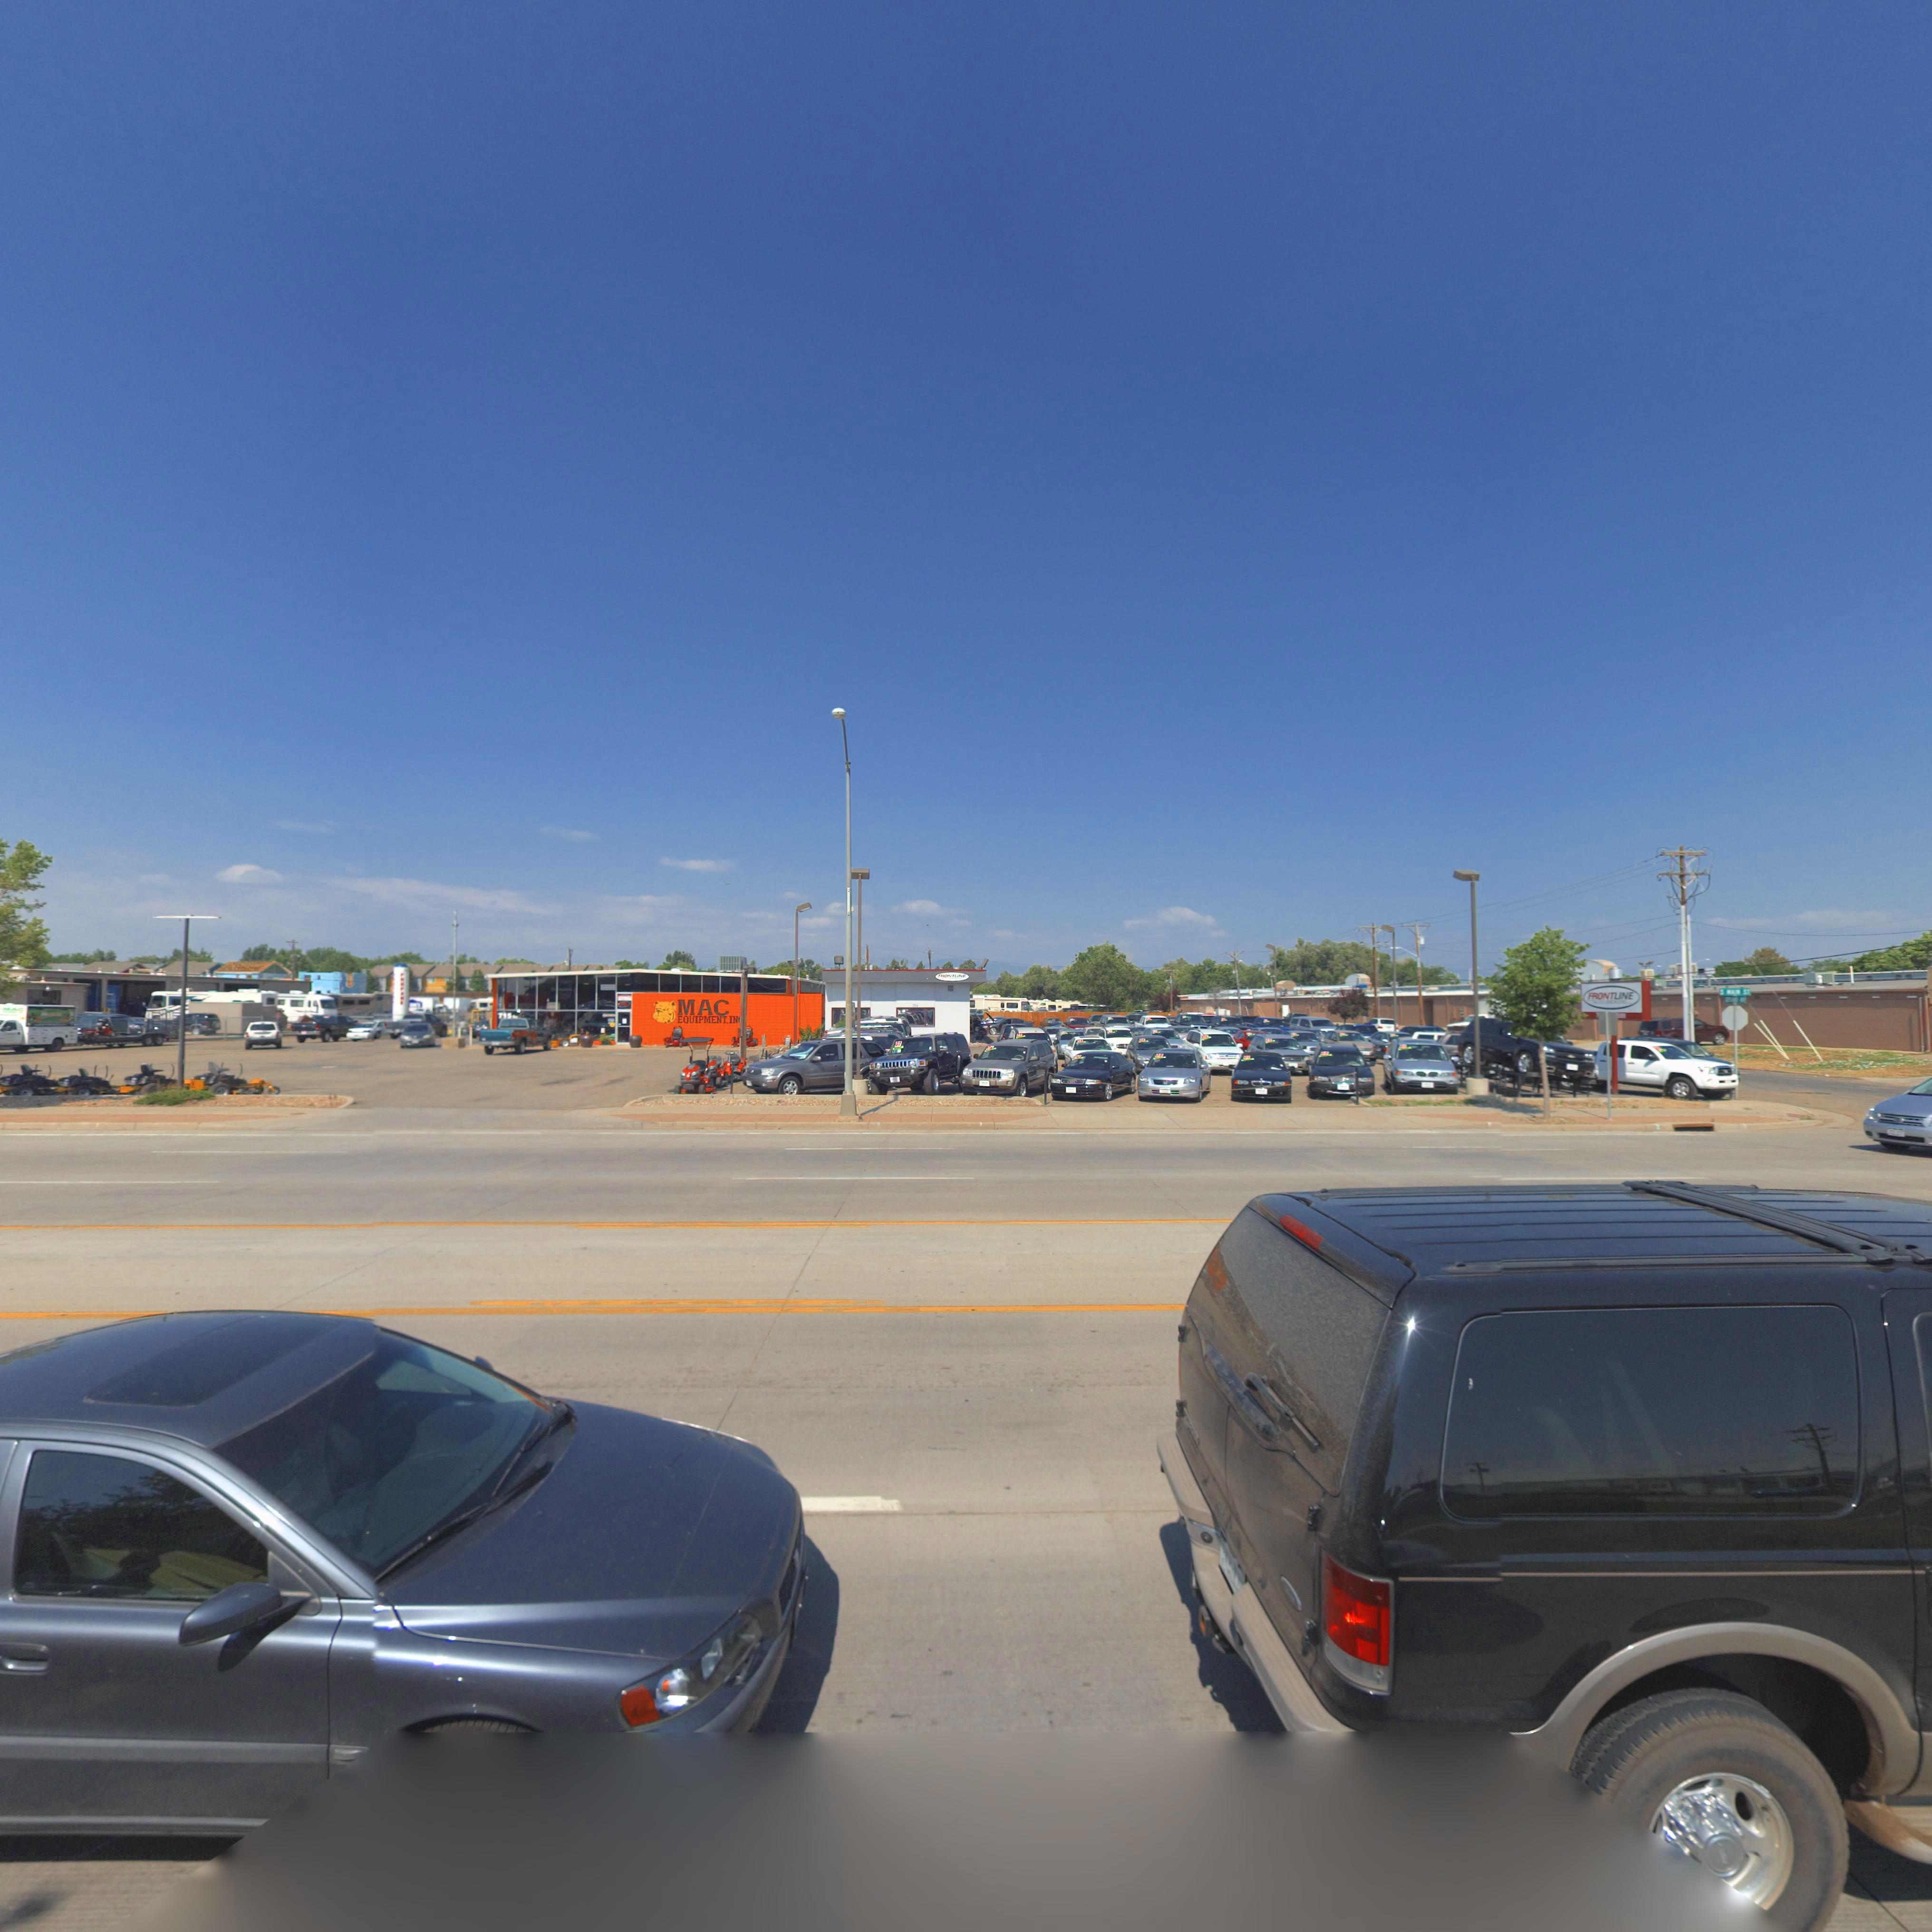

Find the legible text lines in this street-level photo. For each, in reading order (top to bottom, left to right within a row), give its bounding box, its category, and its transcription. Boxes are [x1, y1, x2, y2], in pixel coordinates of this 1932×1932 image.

[937, 974, 966, 978] BusinessName: FRONTLINE
[1587, 992, 1634, 1000] BusinessName: FRONTLINE
[1719, 989, 1750, 995] StreetName: S MAIN ST
[1725, 996, 1746, 1003] StreetName: GRAND AVE
[677, 999, 729, 1015] BusinessName: MAC
[497, 1012, 512, 1020] StreetNumber: 715
[677, 1015, 738, 1024] BusinessName: EQUIPMENT, IN